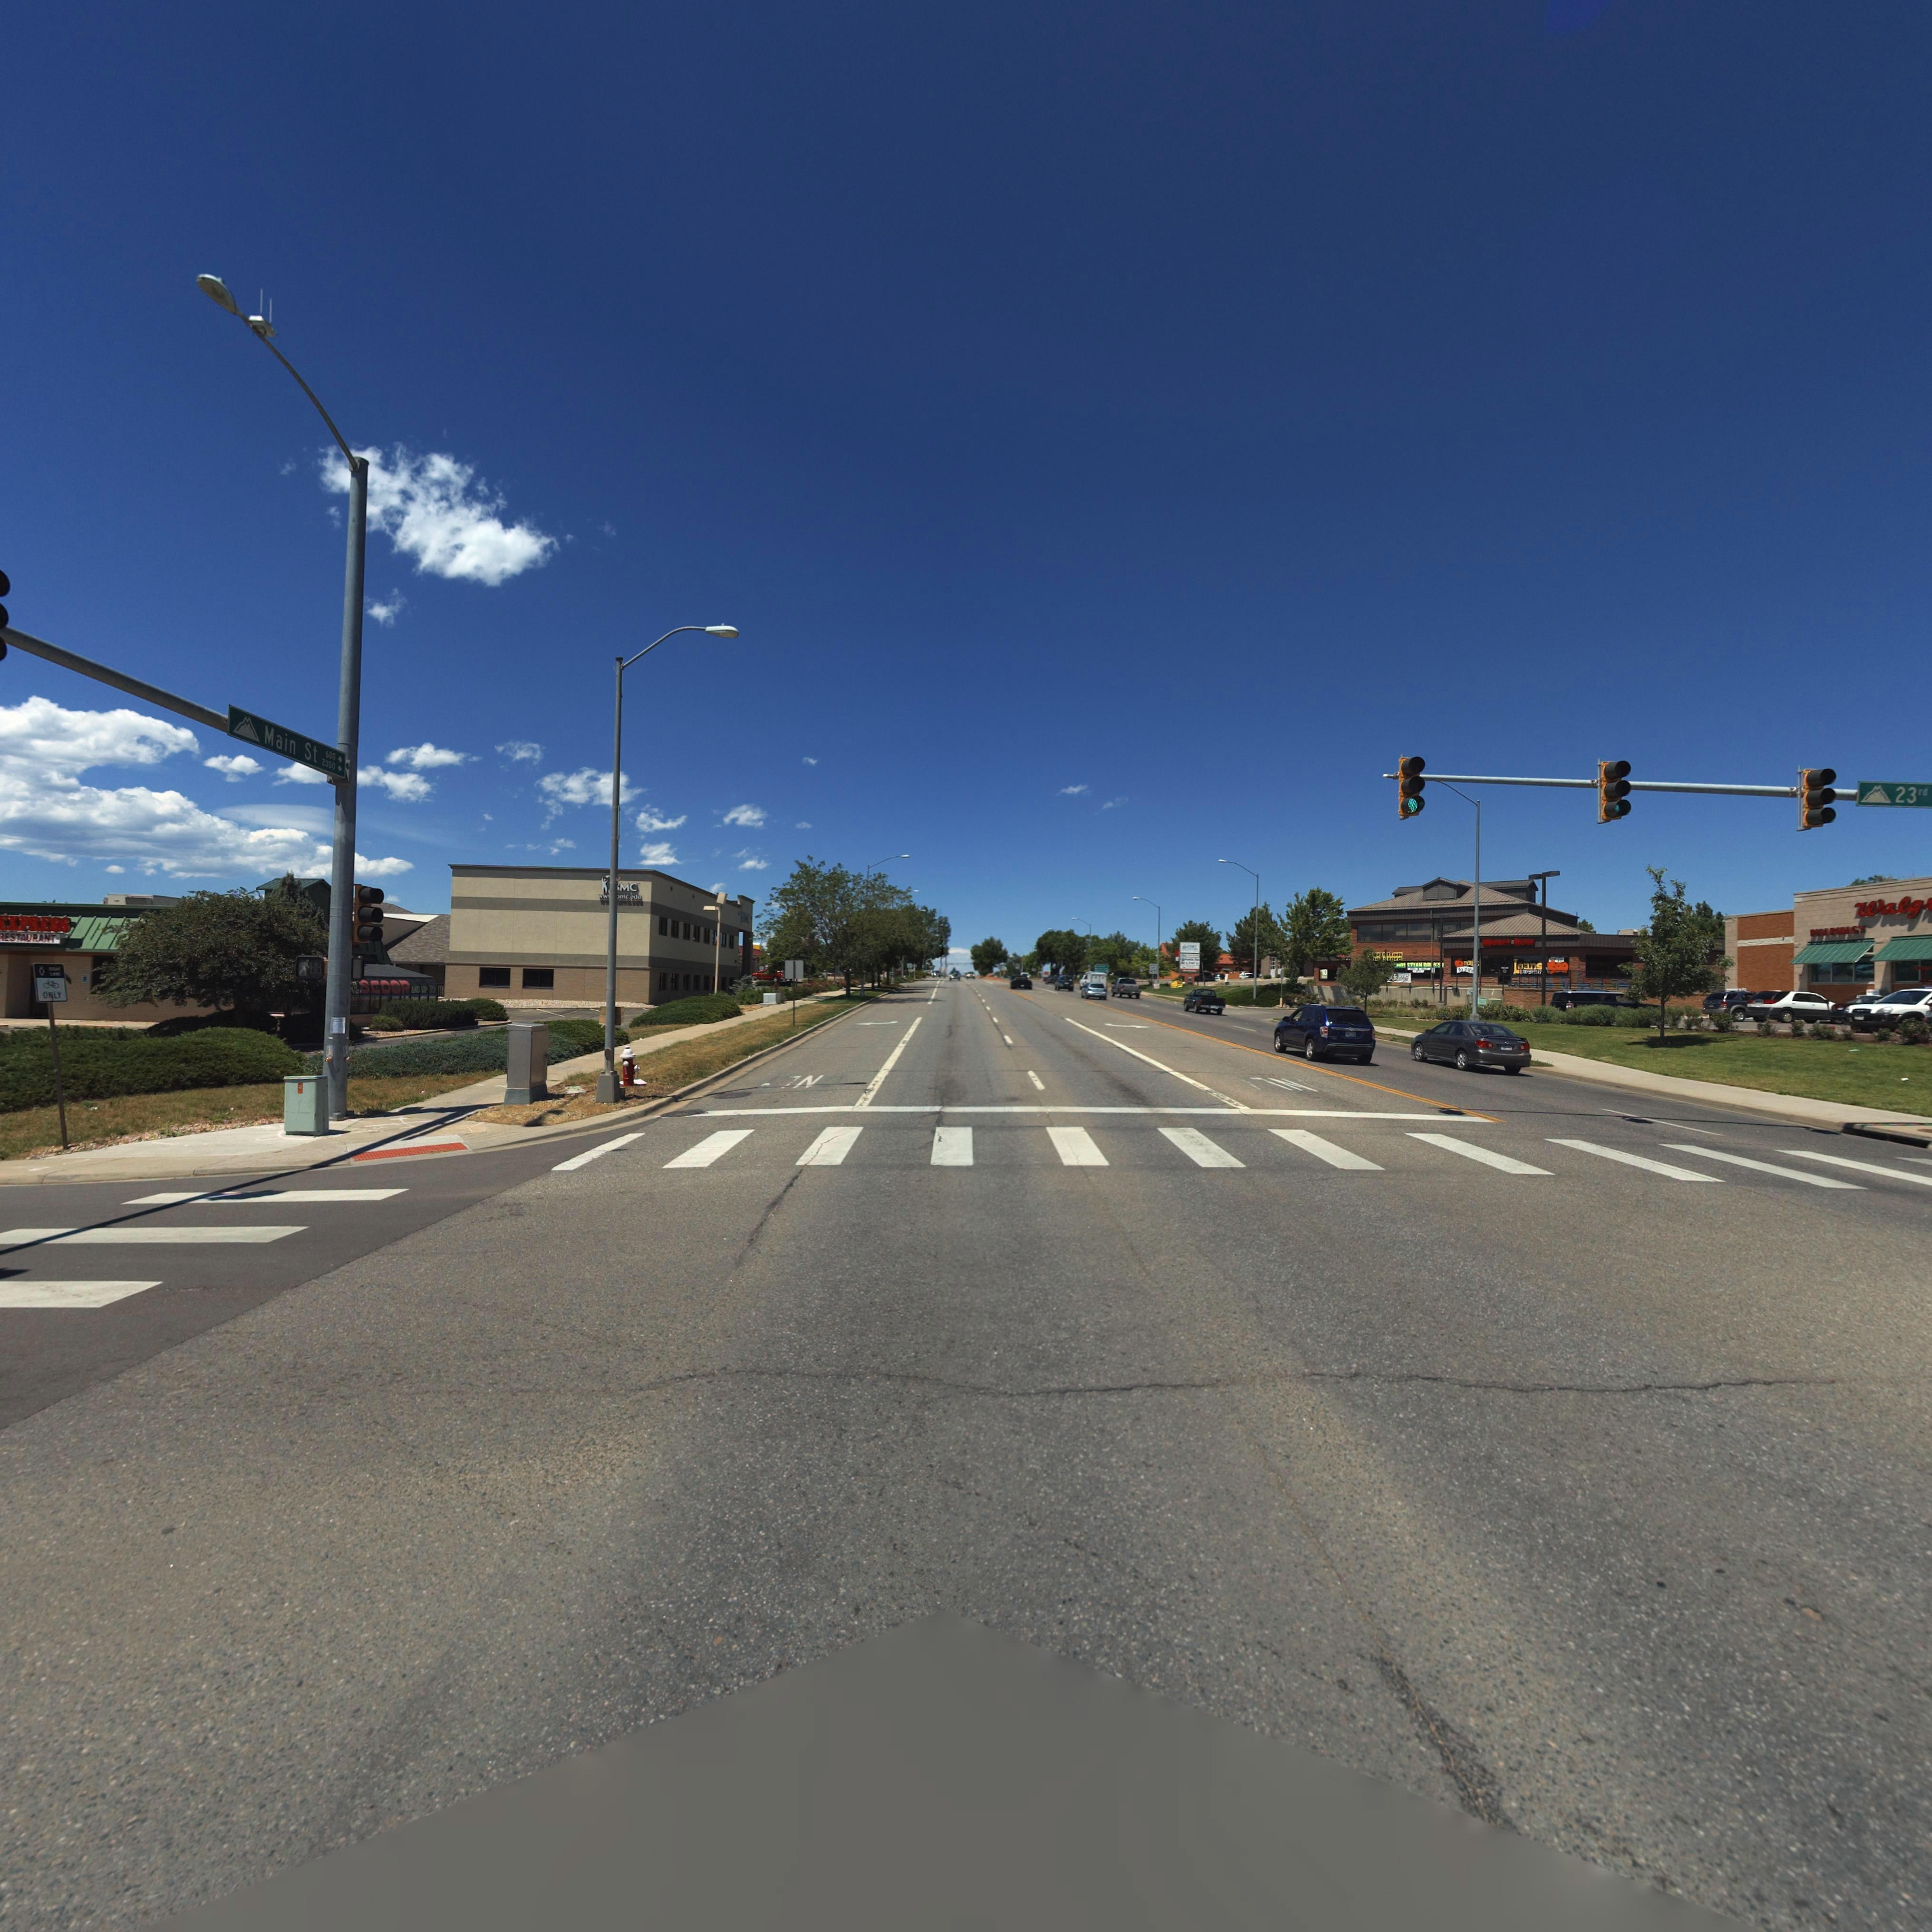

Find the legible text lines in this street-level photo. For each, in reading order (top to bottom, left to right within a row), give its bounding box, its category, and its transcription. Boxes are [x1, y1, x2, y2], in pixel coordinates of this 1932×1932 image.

[265, 724, 317, 763] StreetName: Main St
[325, 750, 336, 760] StreetNumberRange: 600
[321, 758, 342, 772] StreetNumberRange: 2300->
[1894, 786, 1928, 803] StreetName: 23rd
[617, 882, 638, 892] BusinessName: *MC
[1854, 895, 1924, 919] BusinessName: Walg
[7, 915, 71, 933] BusinessName: XPRESS
[740, 910, 750, 924] BusinessName: ***C